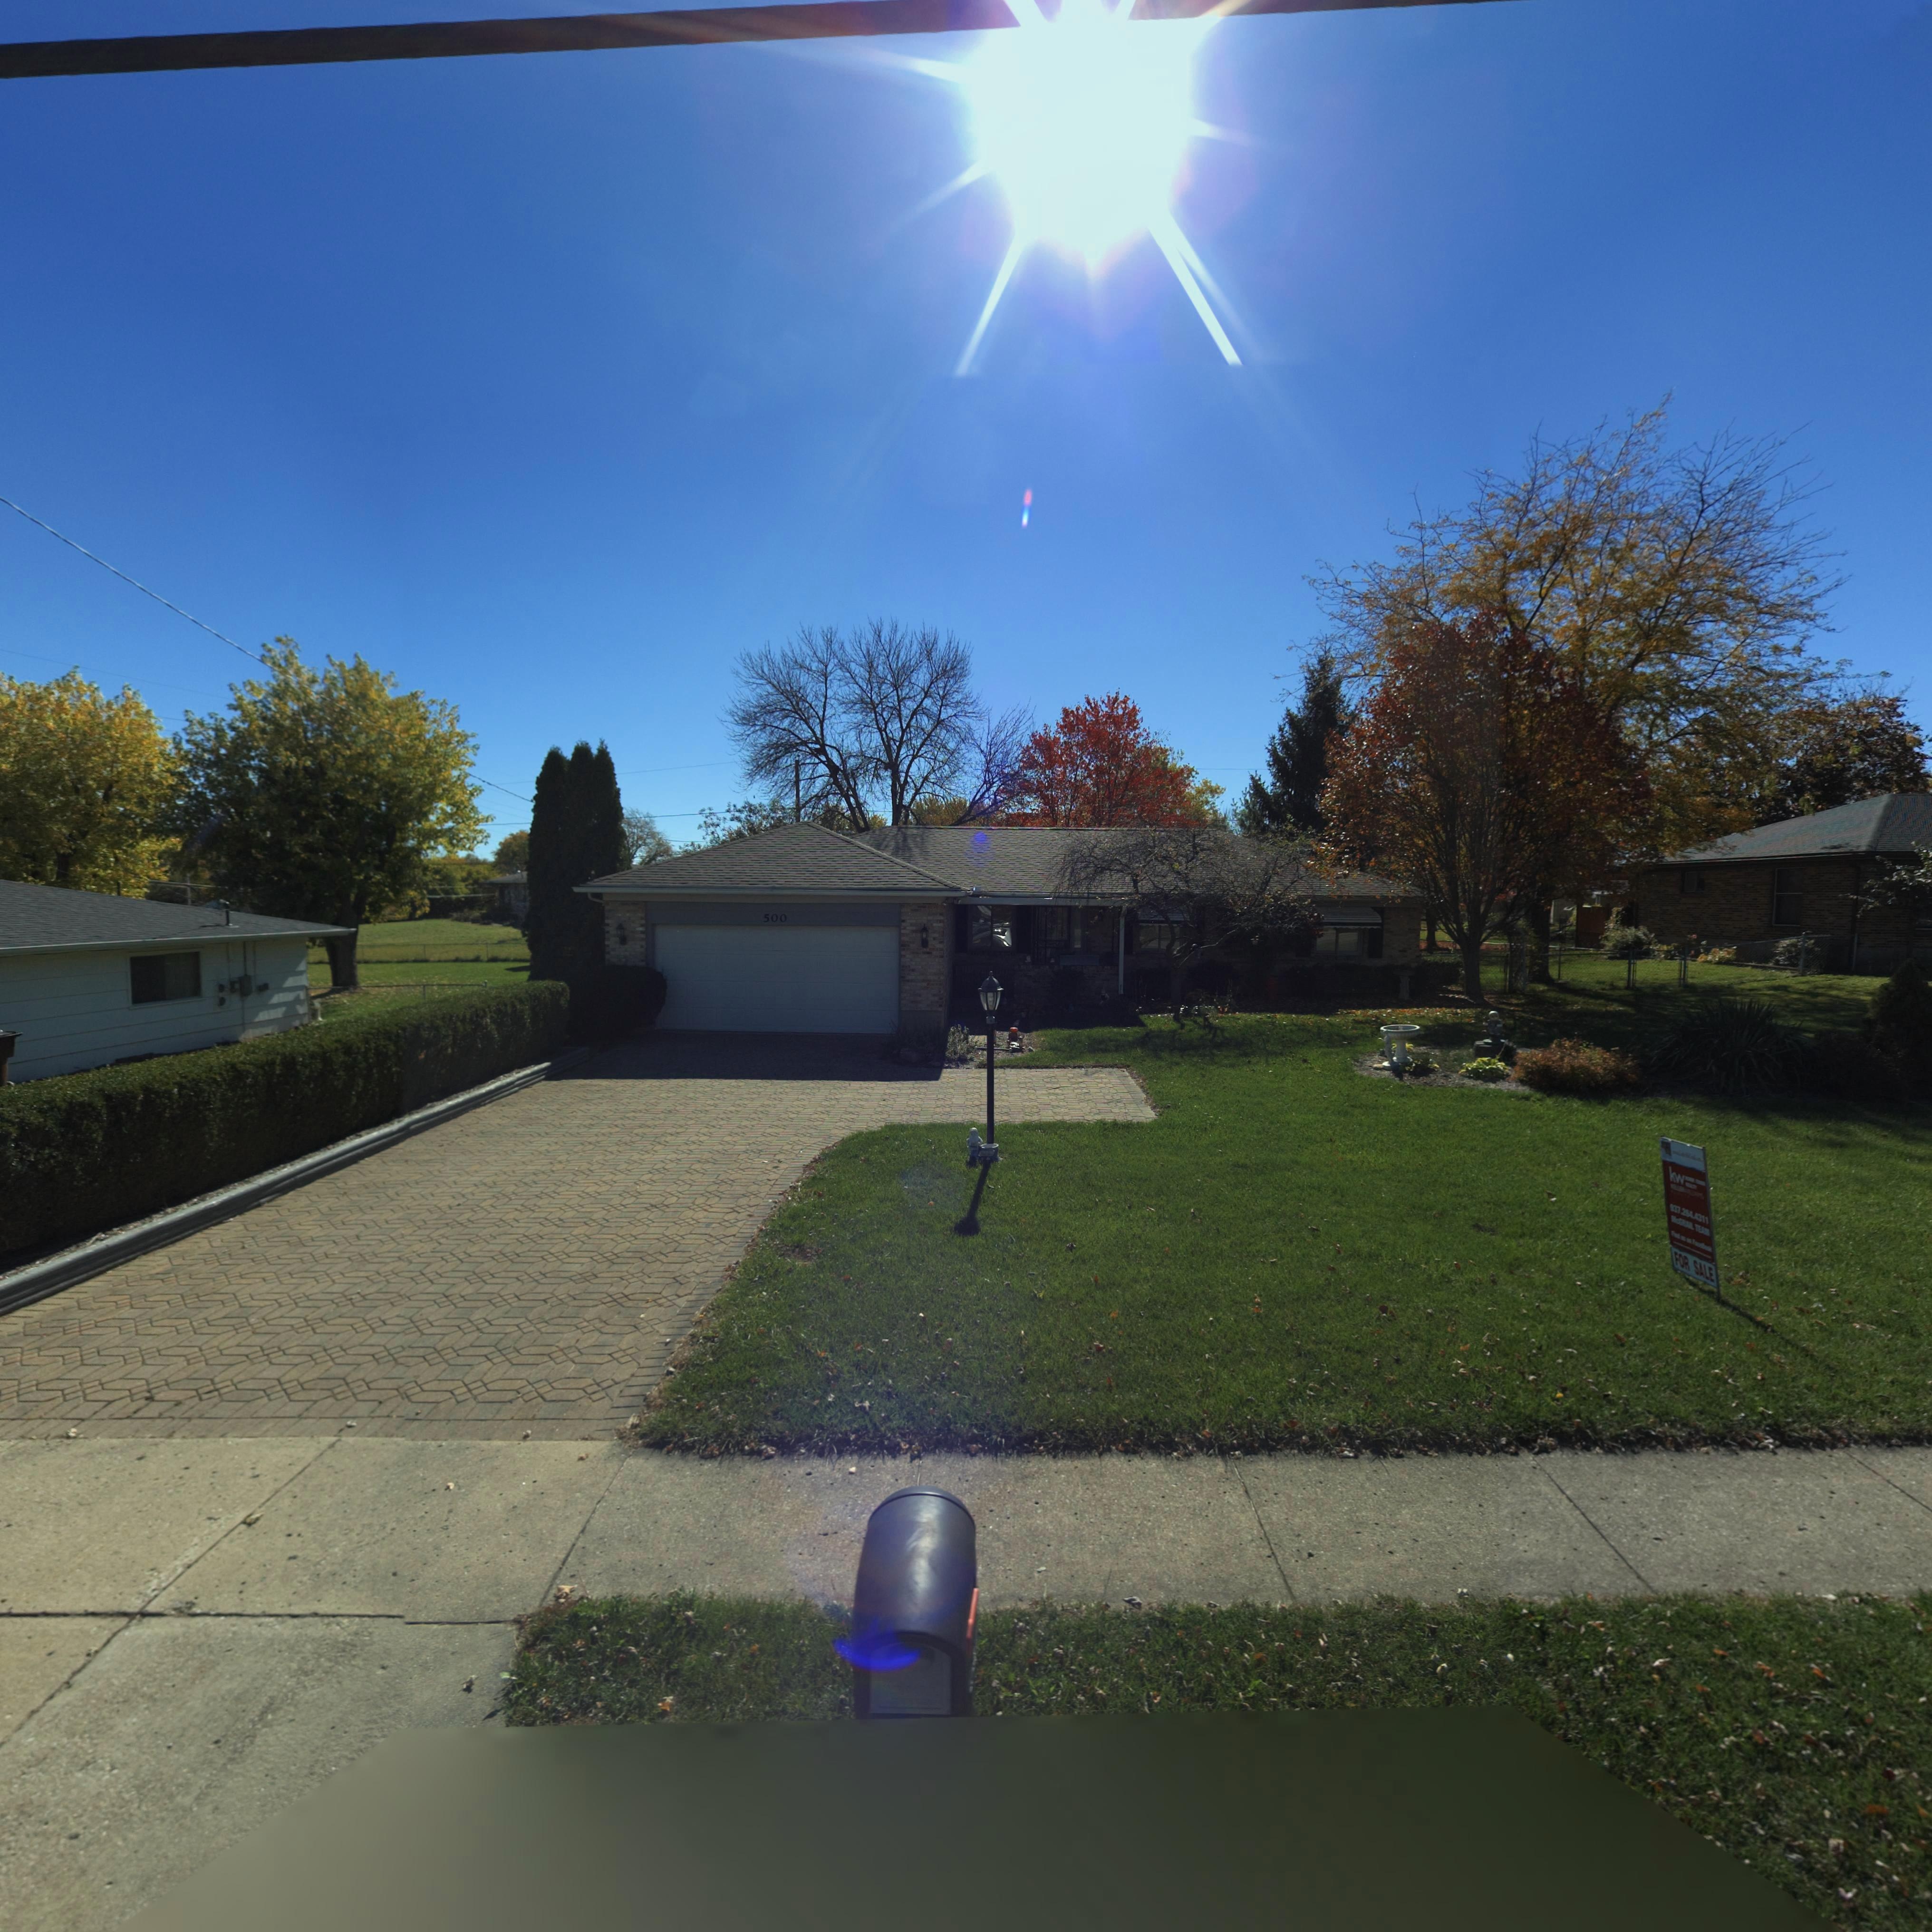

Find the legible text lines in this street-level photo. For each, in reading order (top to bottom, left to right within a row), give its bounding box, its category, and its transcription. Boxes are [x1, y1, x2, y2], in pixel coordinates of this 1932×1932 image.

[763, 913, 788, 923] StreetNumber: 500